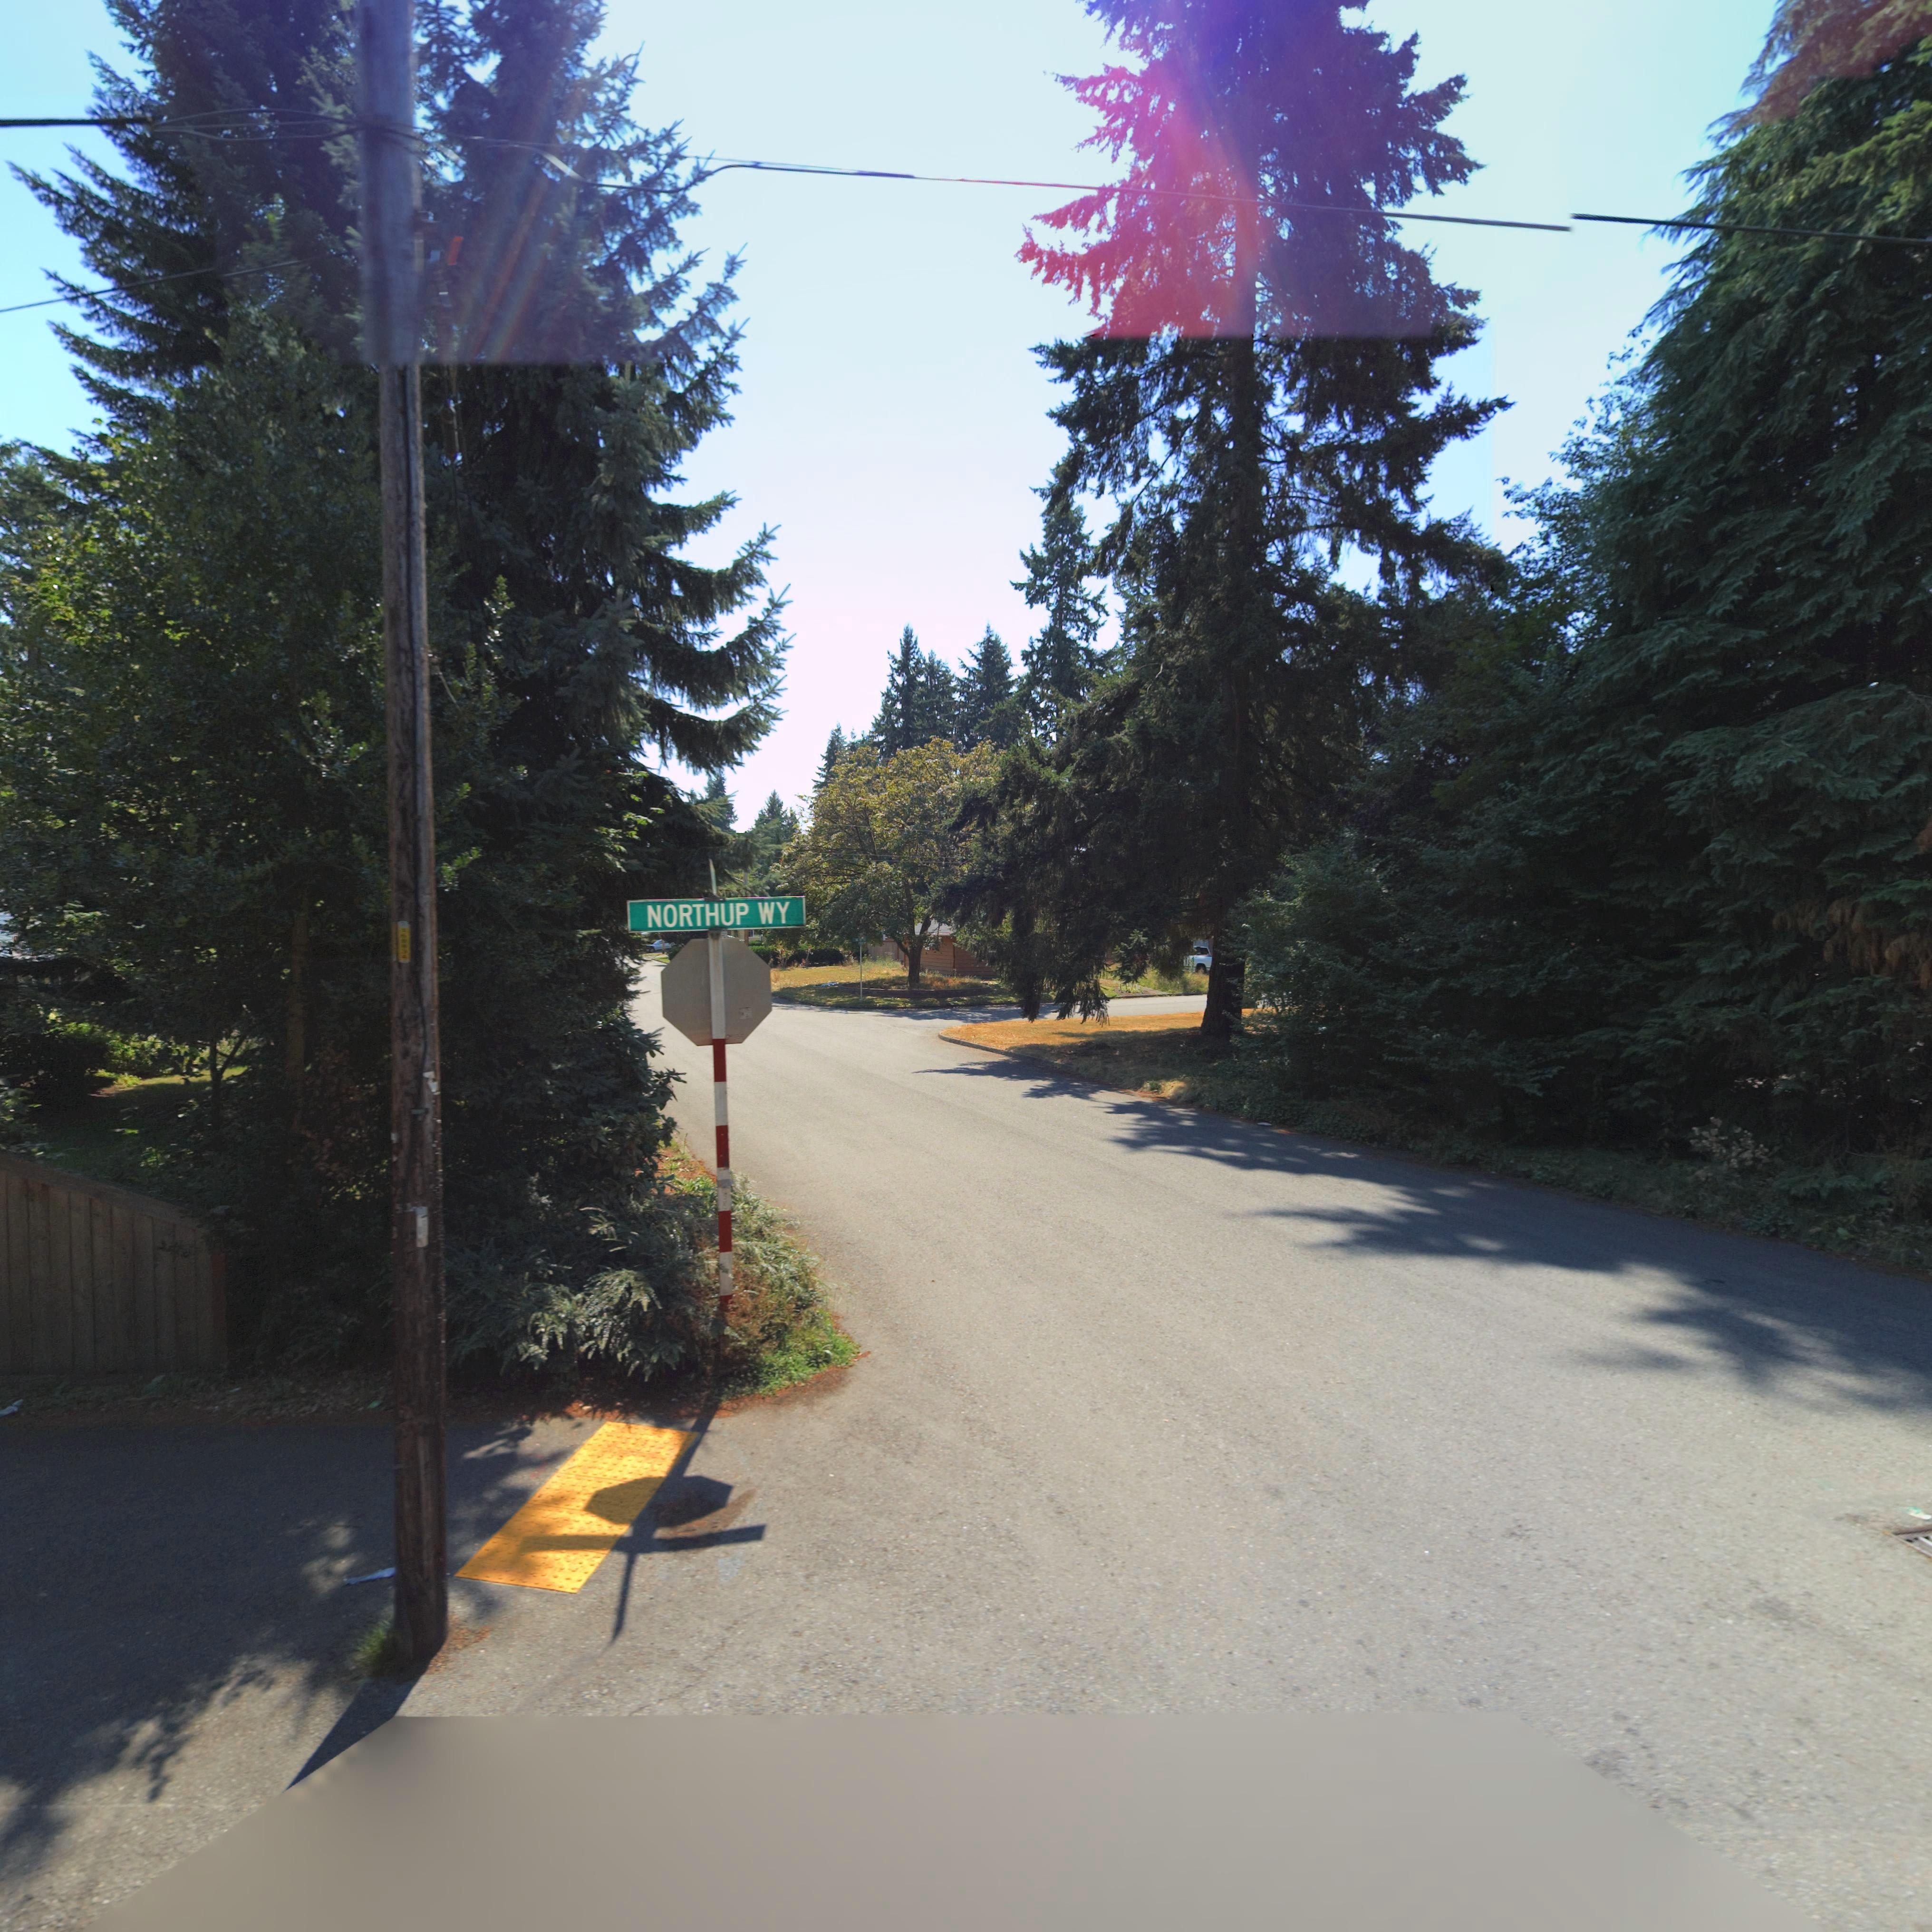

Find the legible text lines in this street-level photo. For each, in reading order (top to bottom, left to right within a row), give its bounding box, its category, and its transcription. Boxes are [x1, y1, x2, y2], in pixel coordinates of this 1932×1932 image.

[643, 900, 793, 928] StreetNumber: NORTHUP WY